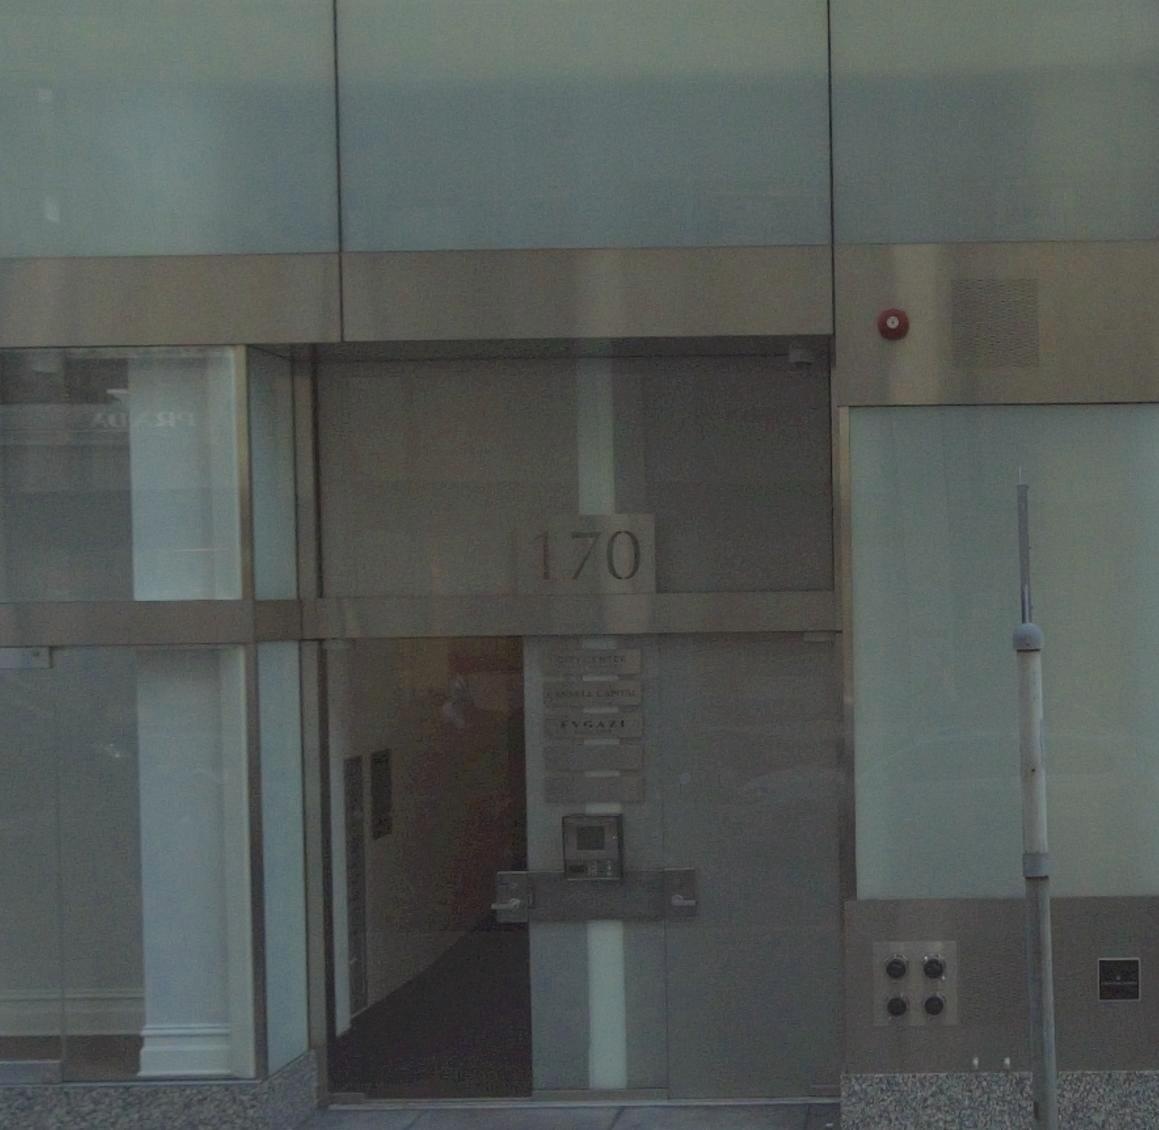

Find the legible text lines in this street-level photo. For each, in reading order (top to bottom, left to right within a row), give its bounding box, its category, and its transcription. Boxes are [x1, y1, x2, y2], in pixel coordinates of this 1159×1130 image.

[531, 528, 641, 583] StreetNumber: 170